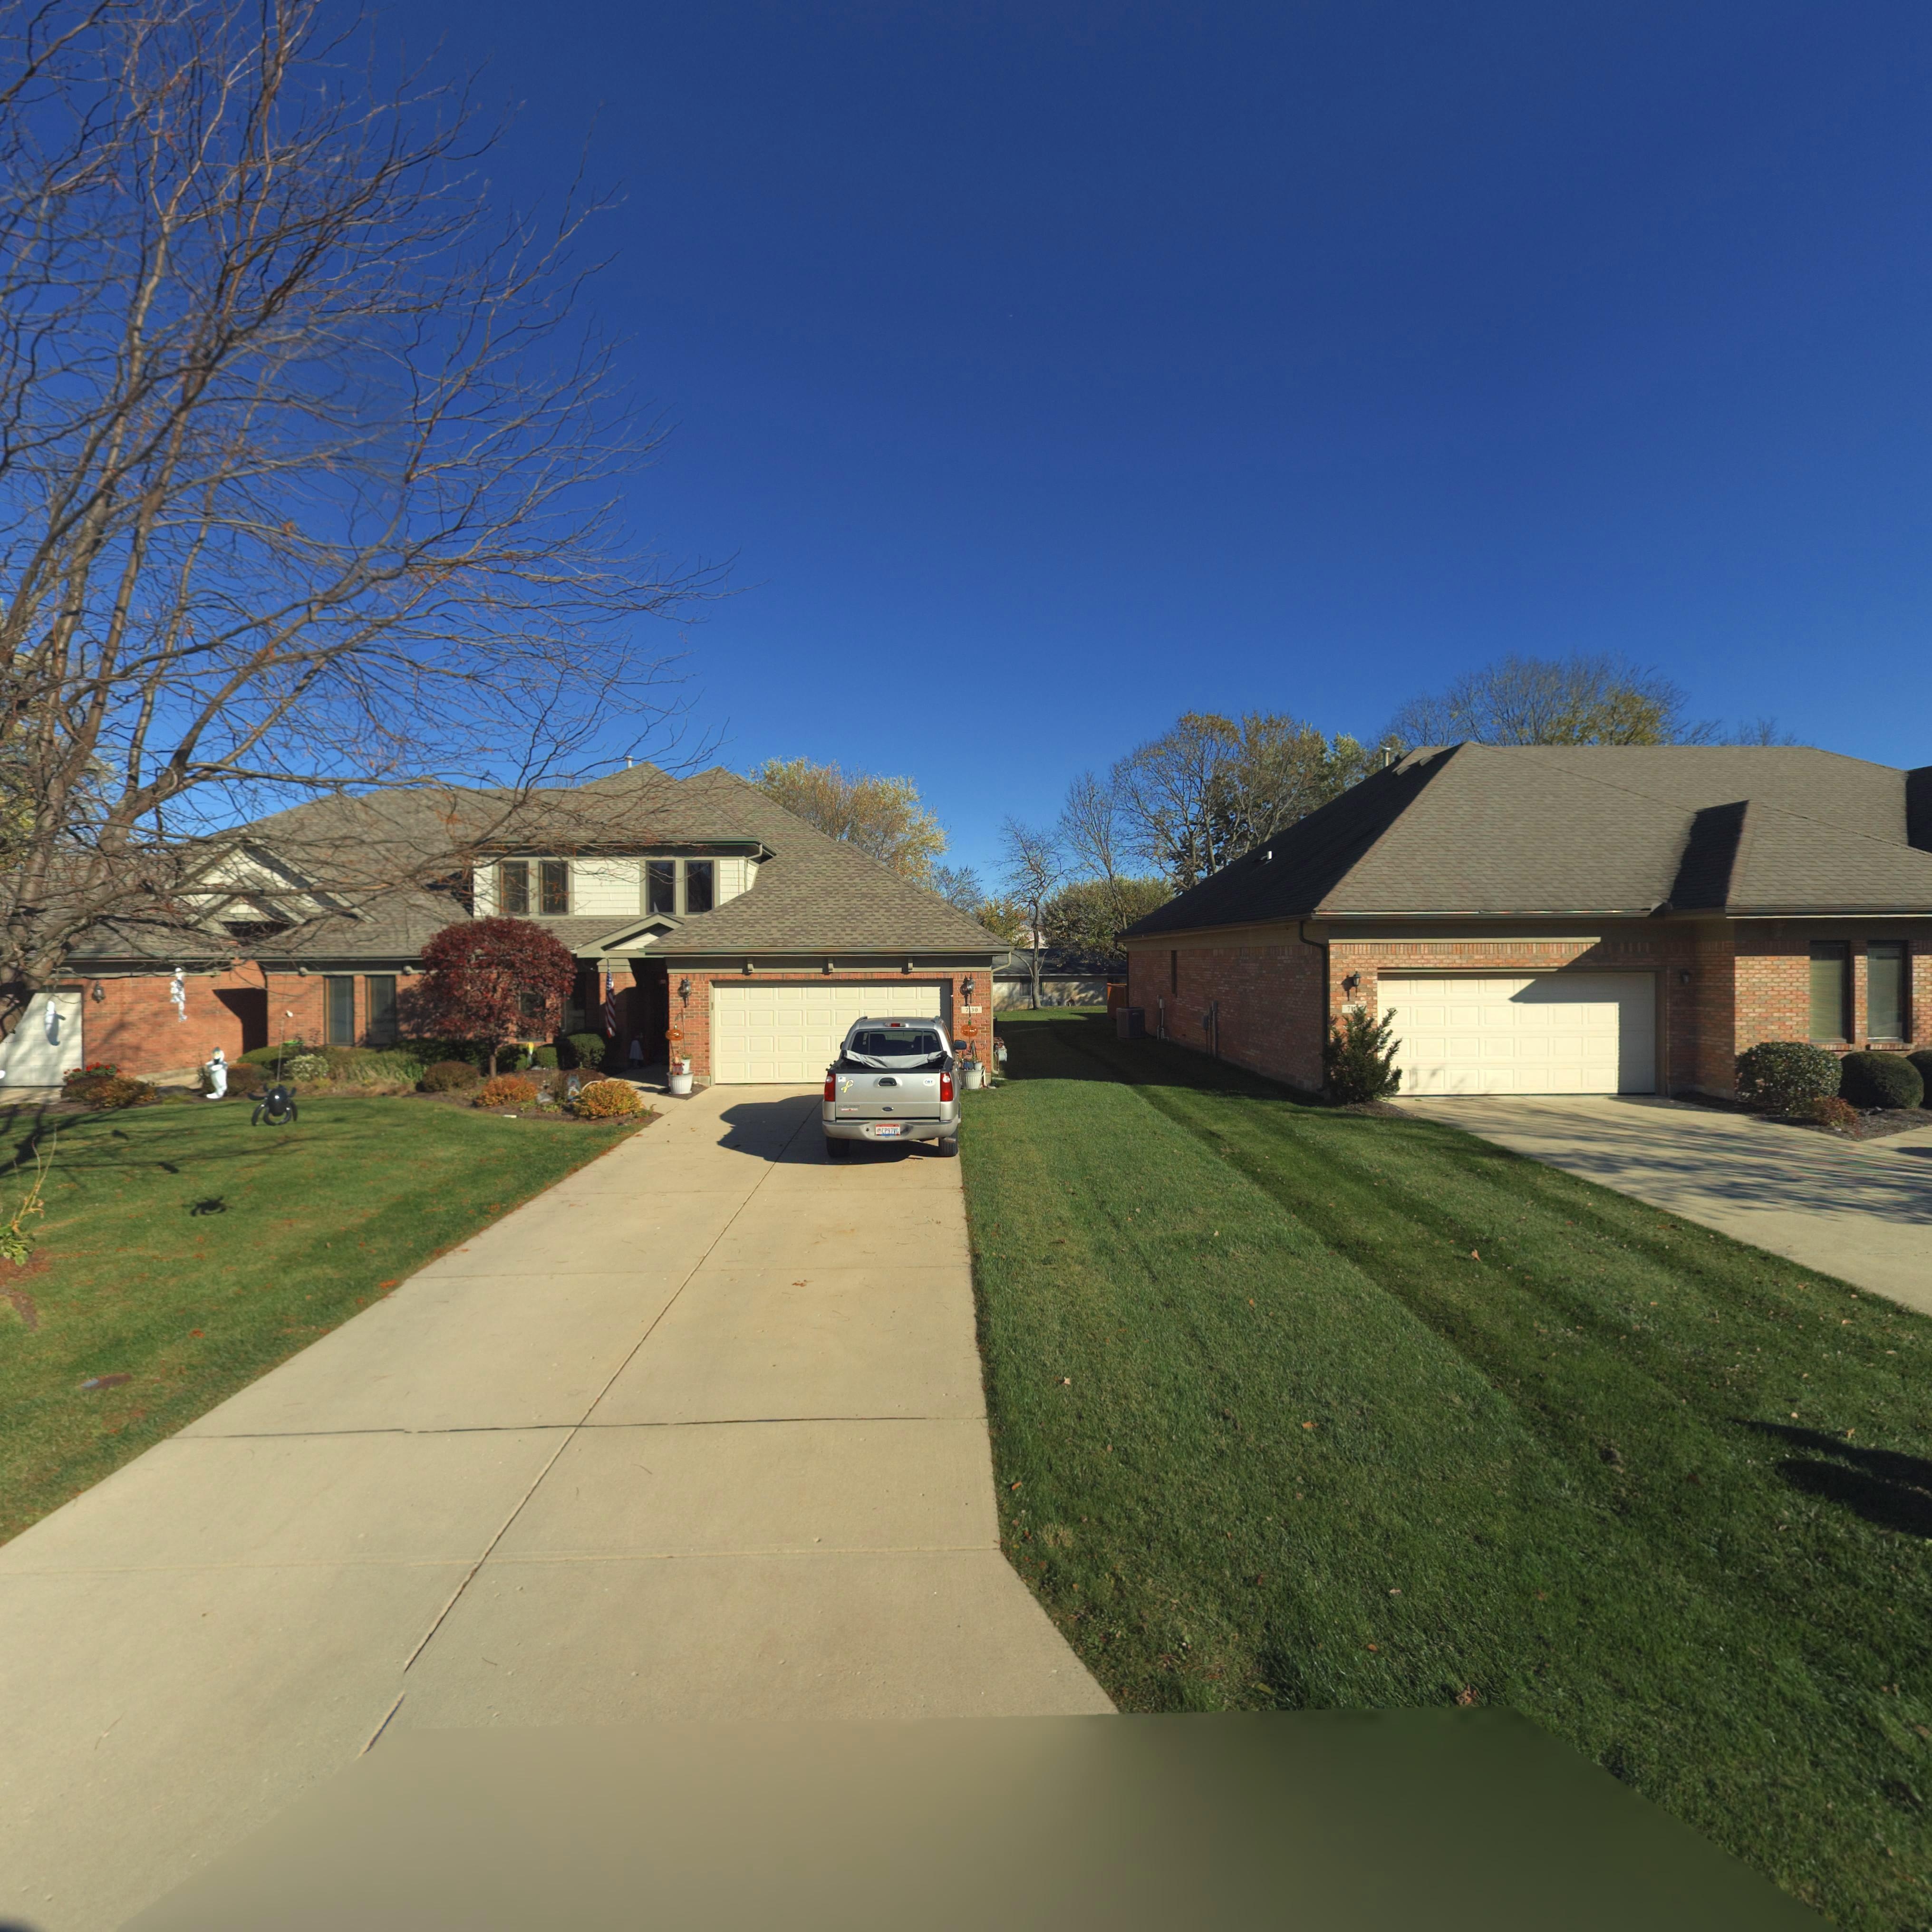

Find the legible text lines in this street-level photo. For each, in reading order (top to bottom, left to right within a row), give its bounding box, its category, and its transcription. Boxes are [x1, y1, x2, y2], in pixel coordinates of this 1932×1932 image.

[965, 1007, 978, 1012] StreetNumber: 7*30
[1347, 1005, 1353, 1012] StreetNumber: 71